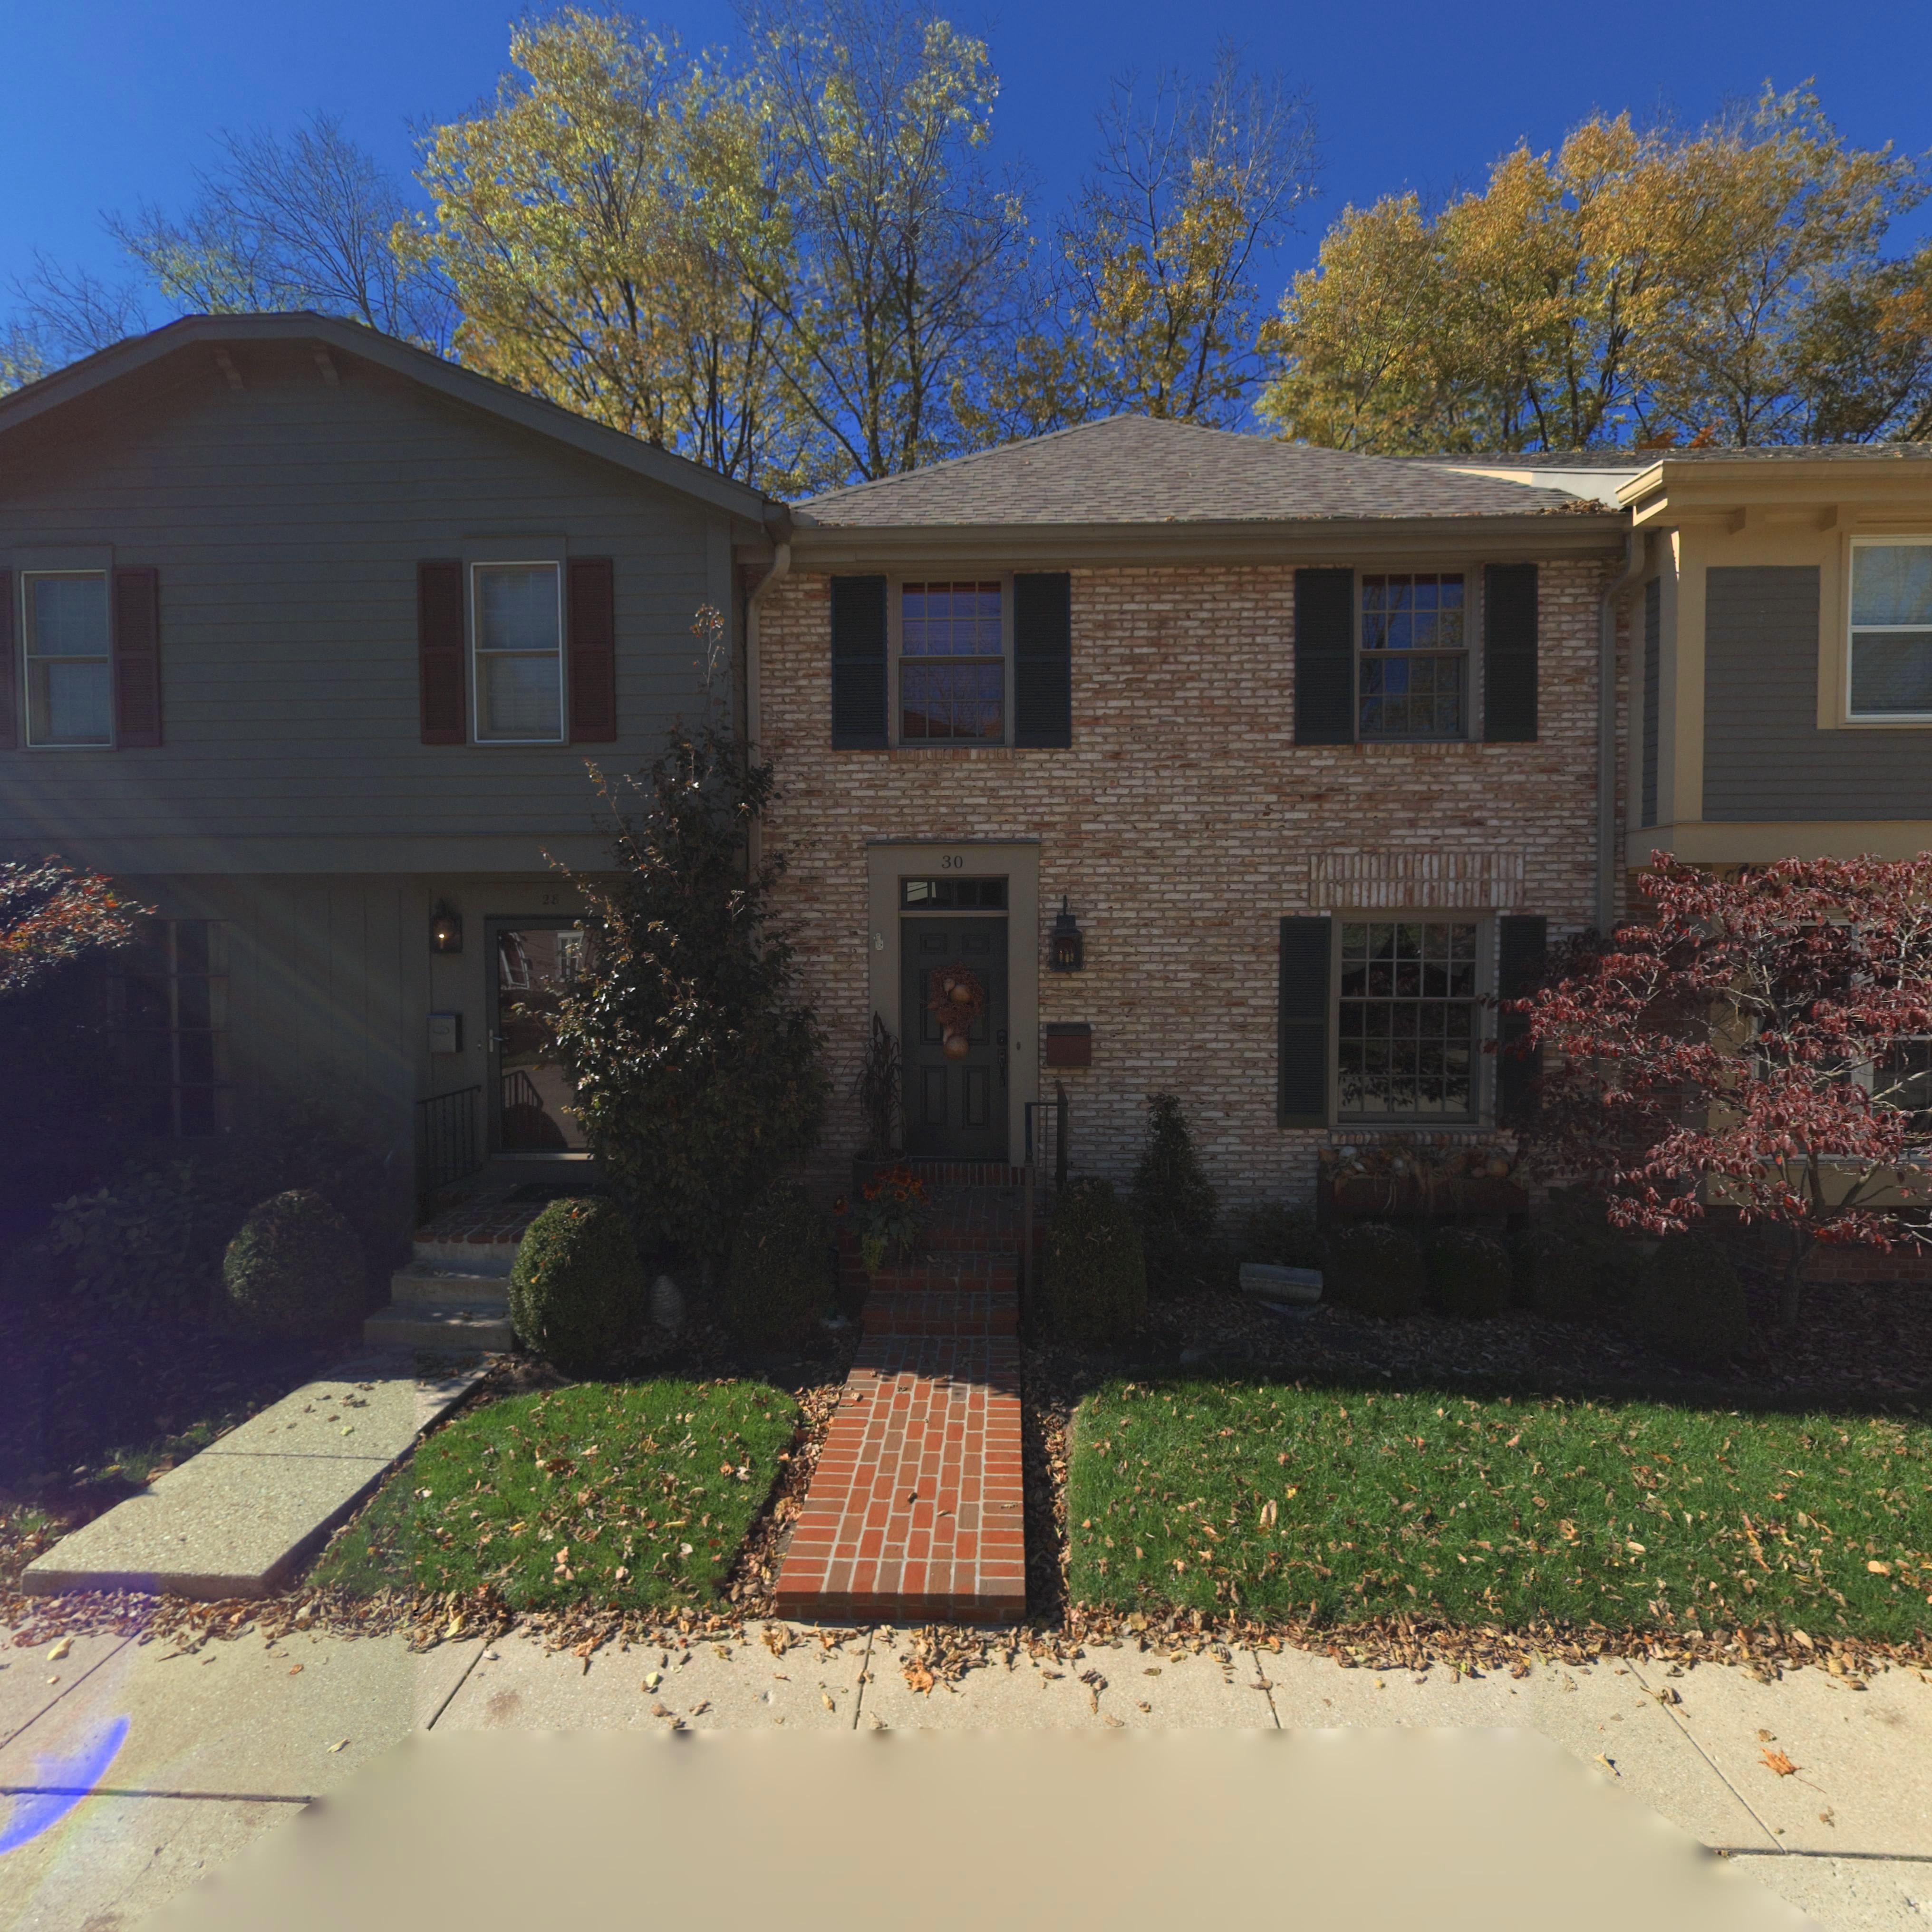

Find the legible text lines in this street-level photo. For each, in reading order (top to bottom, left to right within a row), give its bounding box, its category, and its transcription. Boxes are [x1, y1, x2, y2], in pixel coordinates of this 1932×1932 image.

[941, 854, 964, 869] StreetNumber: 30
[541, 893, 560, 906] StreetNumber: 28